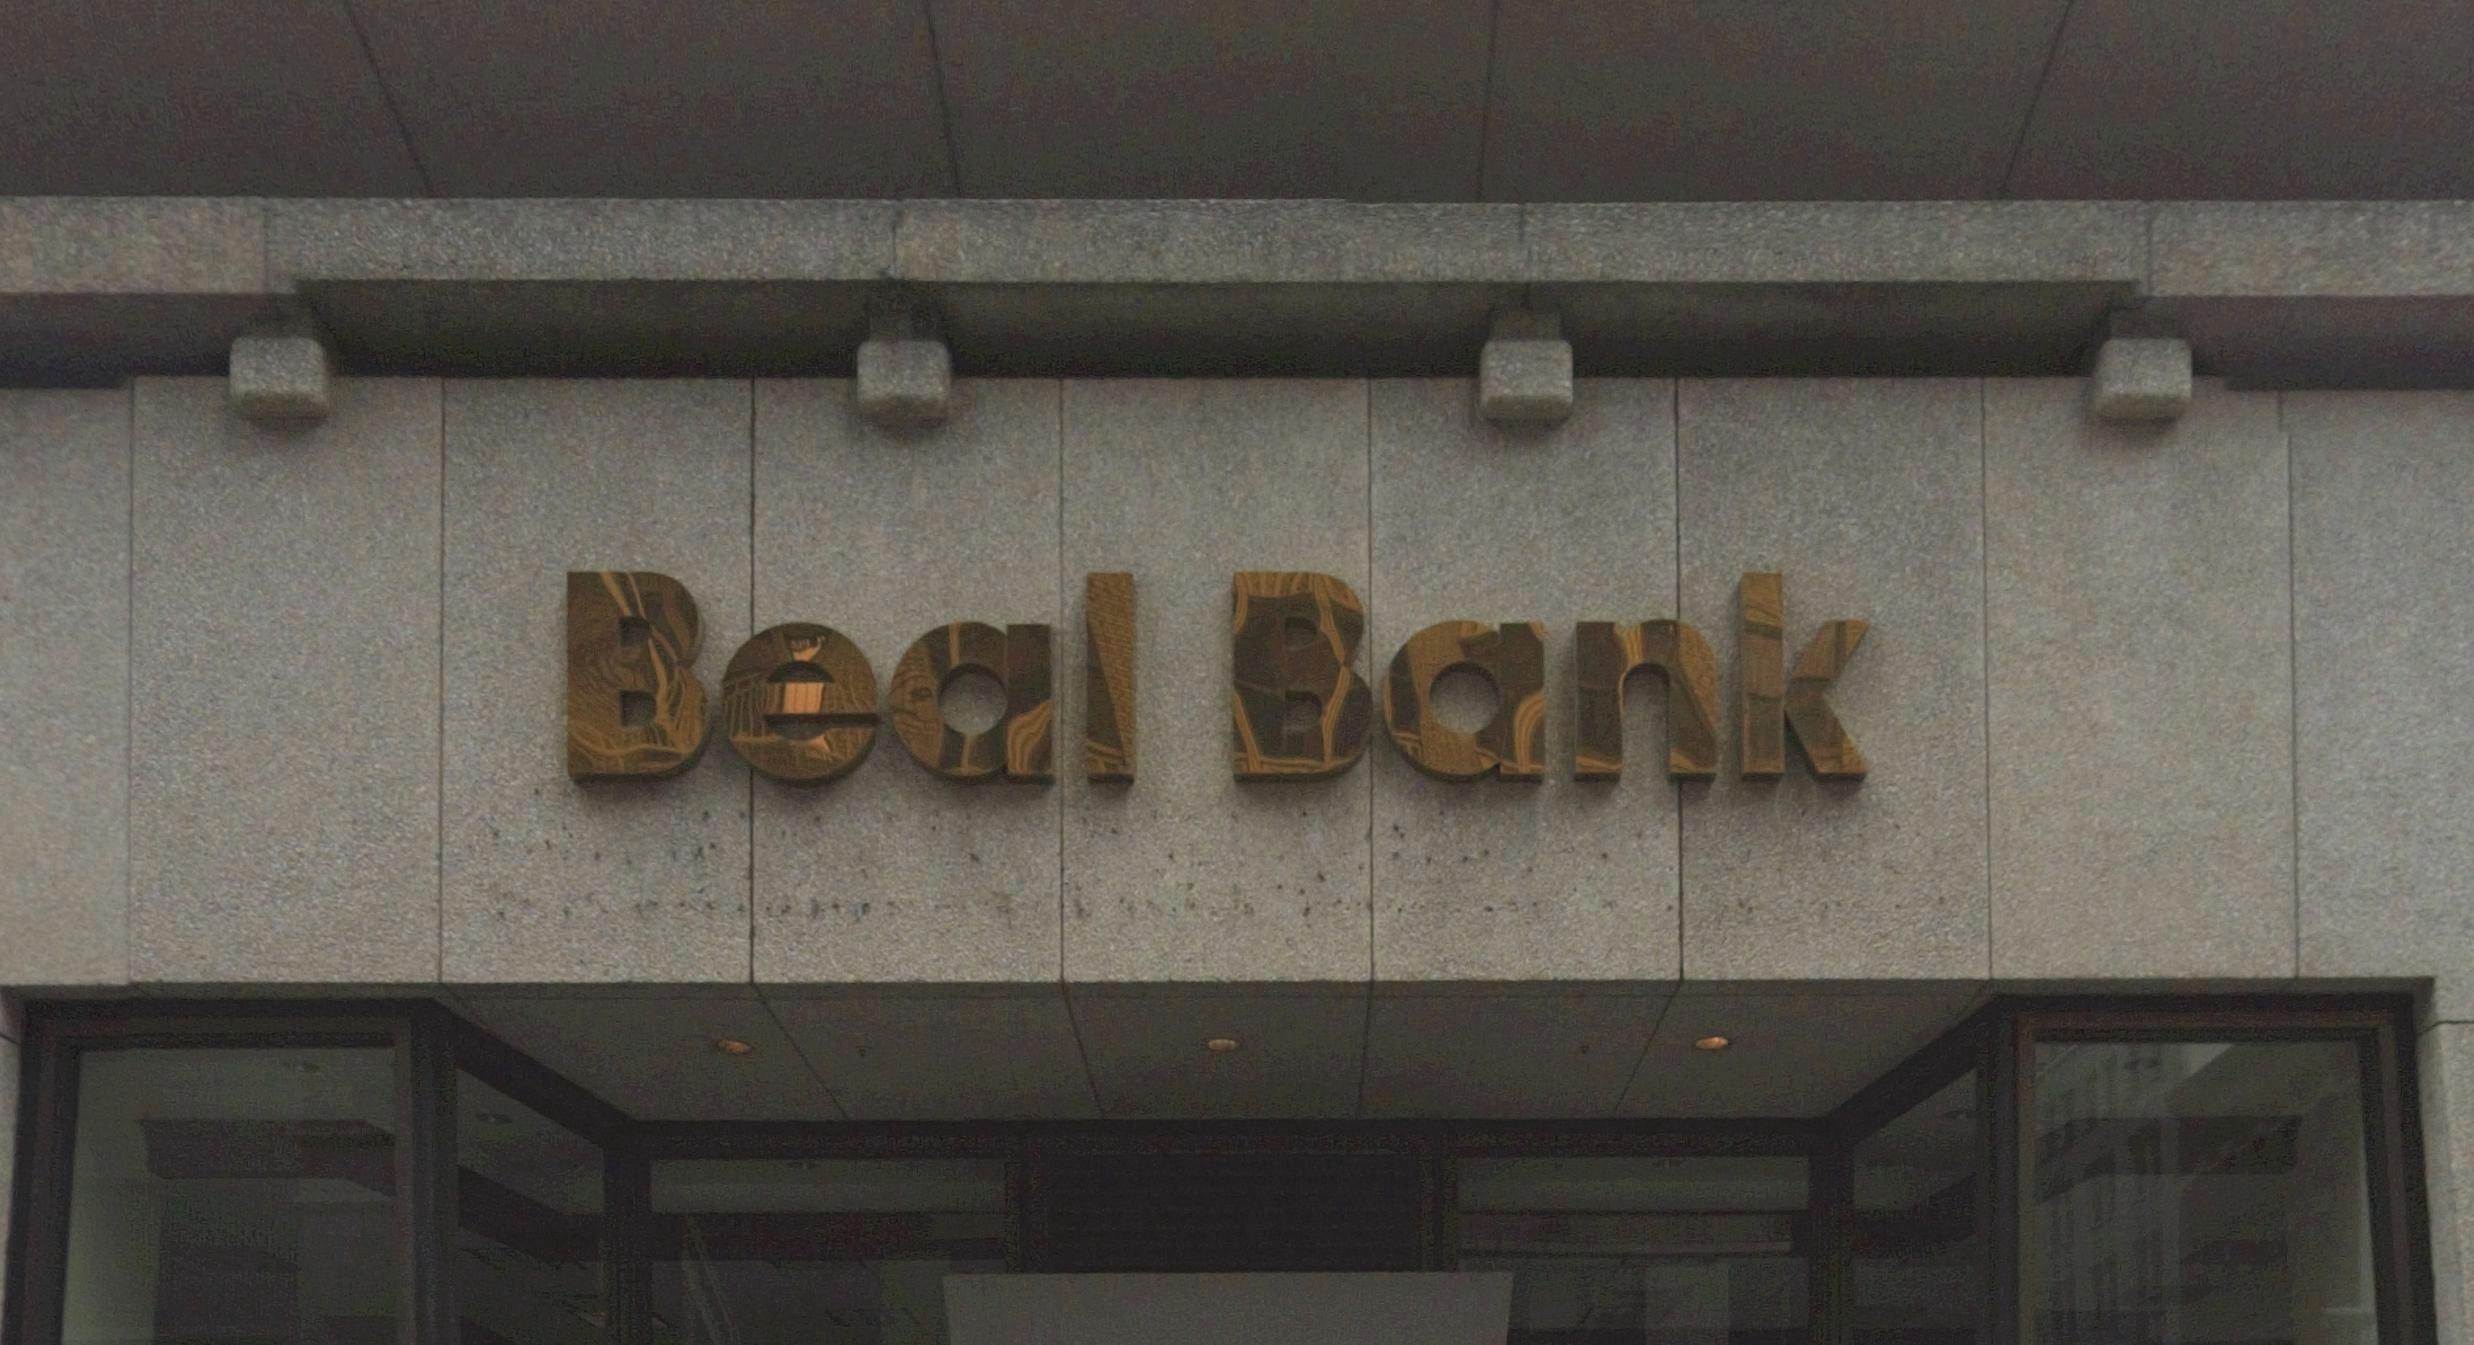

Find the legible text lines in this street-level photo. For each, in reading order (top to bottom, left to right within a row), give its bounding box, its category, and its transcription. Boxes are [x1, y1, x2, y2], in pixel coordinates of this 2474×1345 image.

[559, 564, 1872, 782] BusinessName: Beal Bank